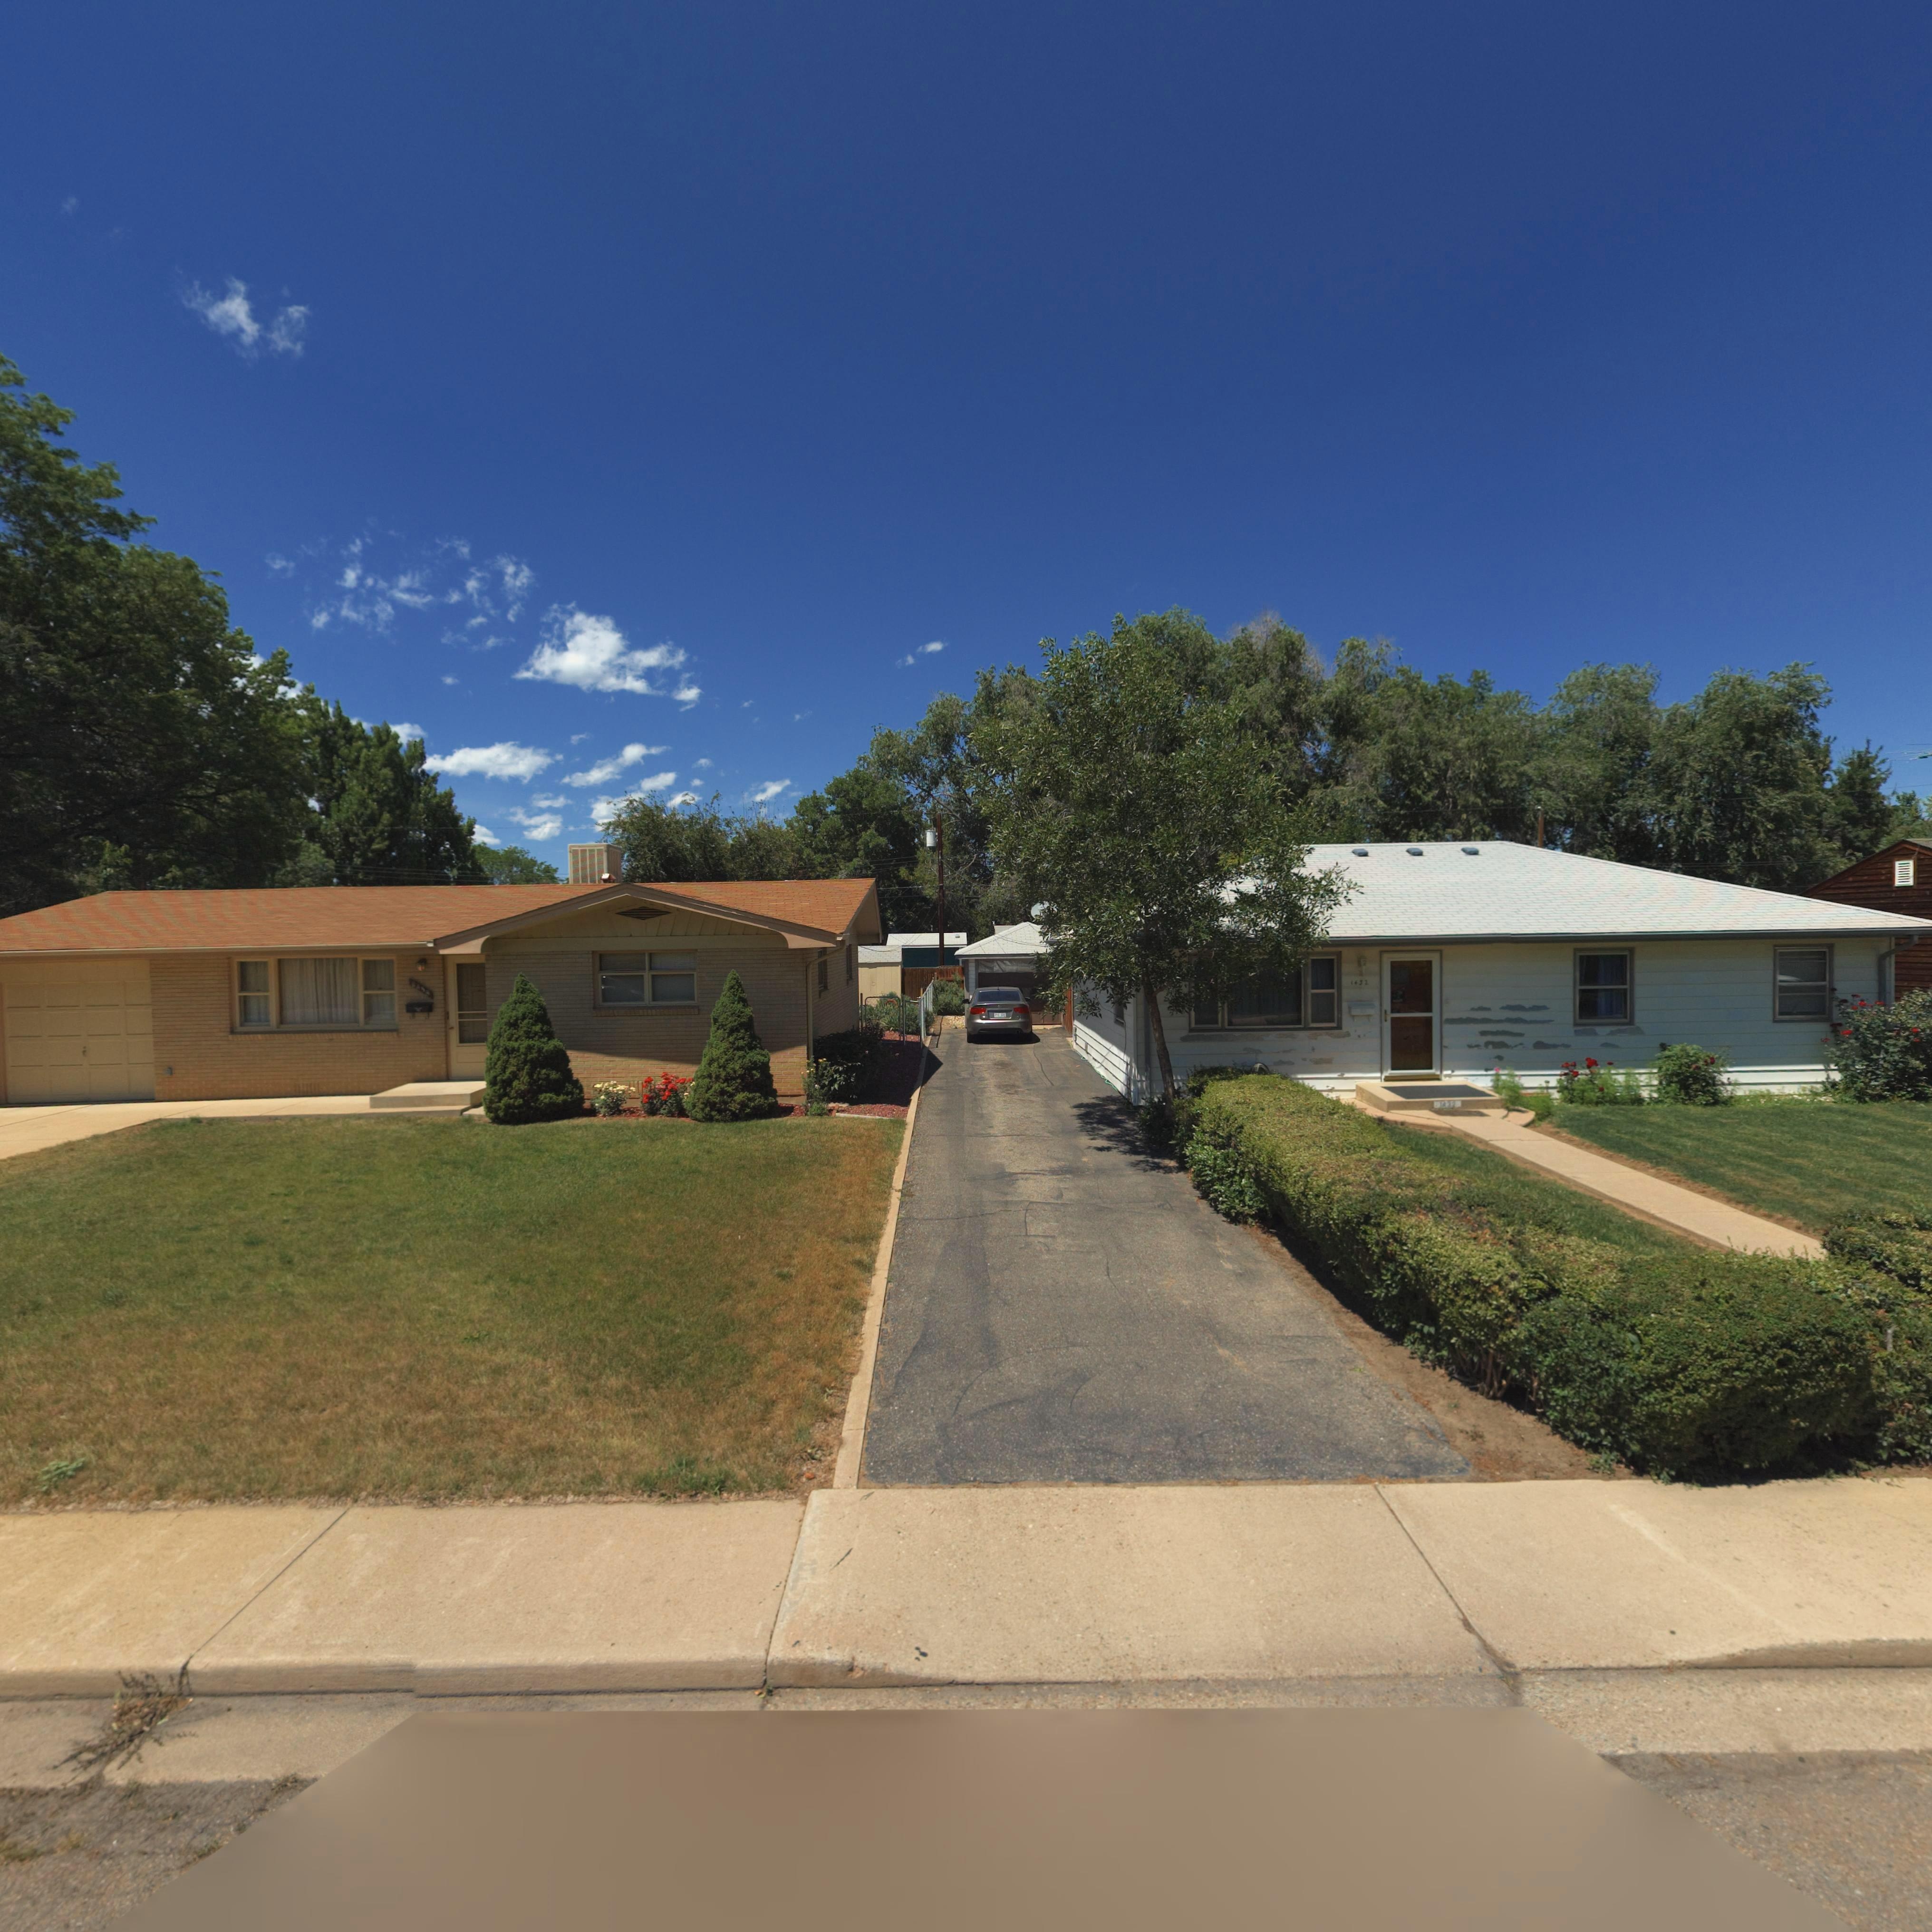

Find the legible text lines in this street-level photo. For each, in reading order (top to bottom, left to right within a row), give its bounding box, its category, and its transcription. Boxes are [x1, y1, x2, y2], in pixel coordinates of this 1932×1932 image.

[1350, 979, 1368, 985] StreetNumber: 1432
[411, 979, 430, 997] StreetNumber: 1438
[1439, 1101, 1456, 1108] StreetNumber: 1432